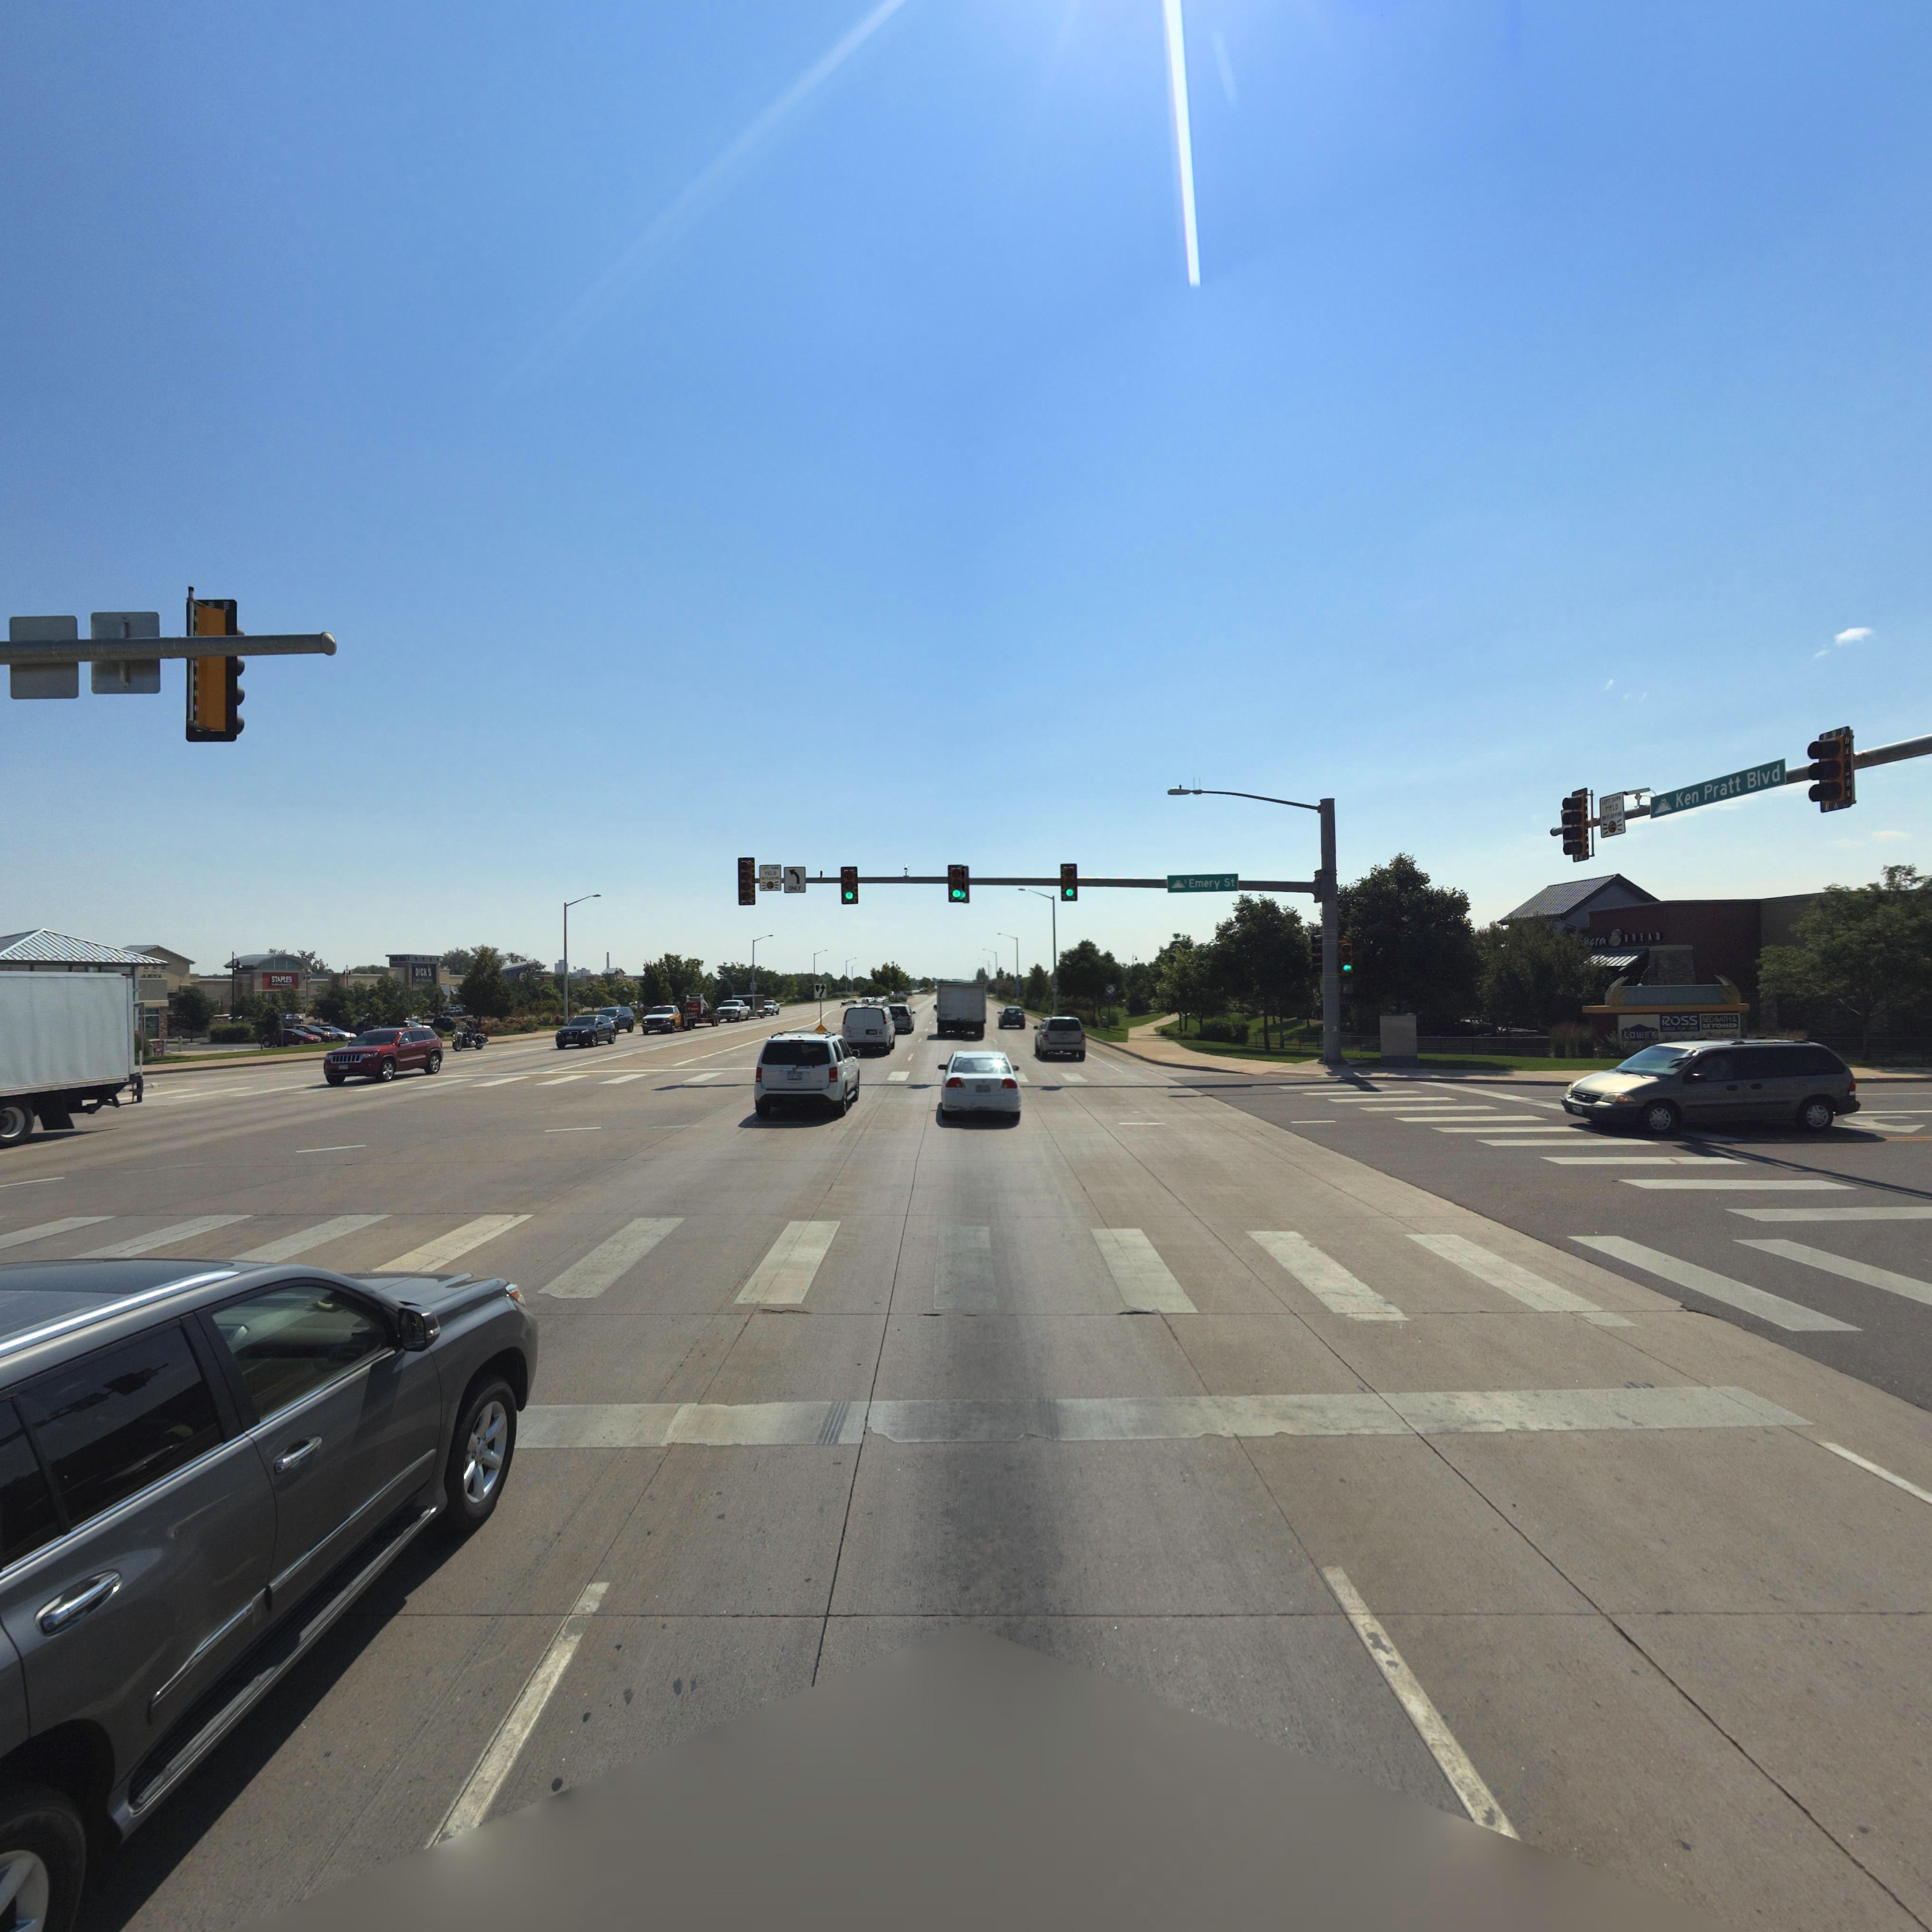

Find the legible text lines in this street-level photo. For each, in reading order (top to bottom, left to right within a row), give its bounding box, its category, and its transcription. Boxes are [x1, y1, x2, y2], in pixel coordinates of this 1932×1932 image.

[1675, 763, 1781, 808] StreetName: Ken Pratt Blvd
[1183, 877, 1235, 889] StreetName: S Emery St
[1583, 928, 1661, 947] BusinessName: *era * BREAD
[415, 965, 432, 976] BusinessName: DICK'S
[271, 976, 292, 983] BusinessName: STAPLES
[1661, 1014, 1698, 1026] BusinessName: ROSS
[1701, 1015, 1737, 1023] BusinessName: BEDBATH&
[1676, 1026, 1698, 1031] BusinessName: FOR LESS
[1702, 1023, 1738, 1029] BusinessName: BEYOND
[1623, 1030, 1657, 1039] BusinessName: LOWE'S
[1704, 1030, 1738, 1039] BusinessName: Mich*el*